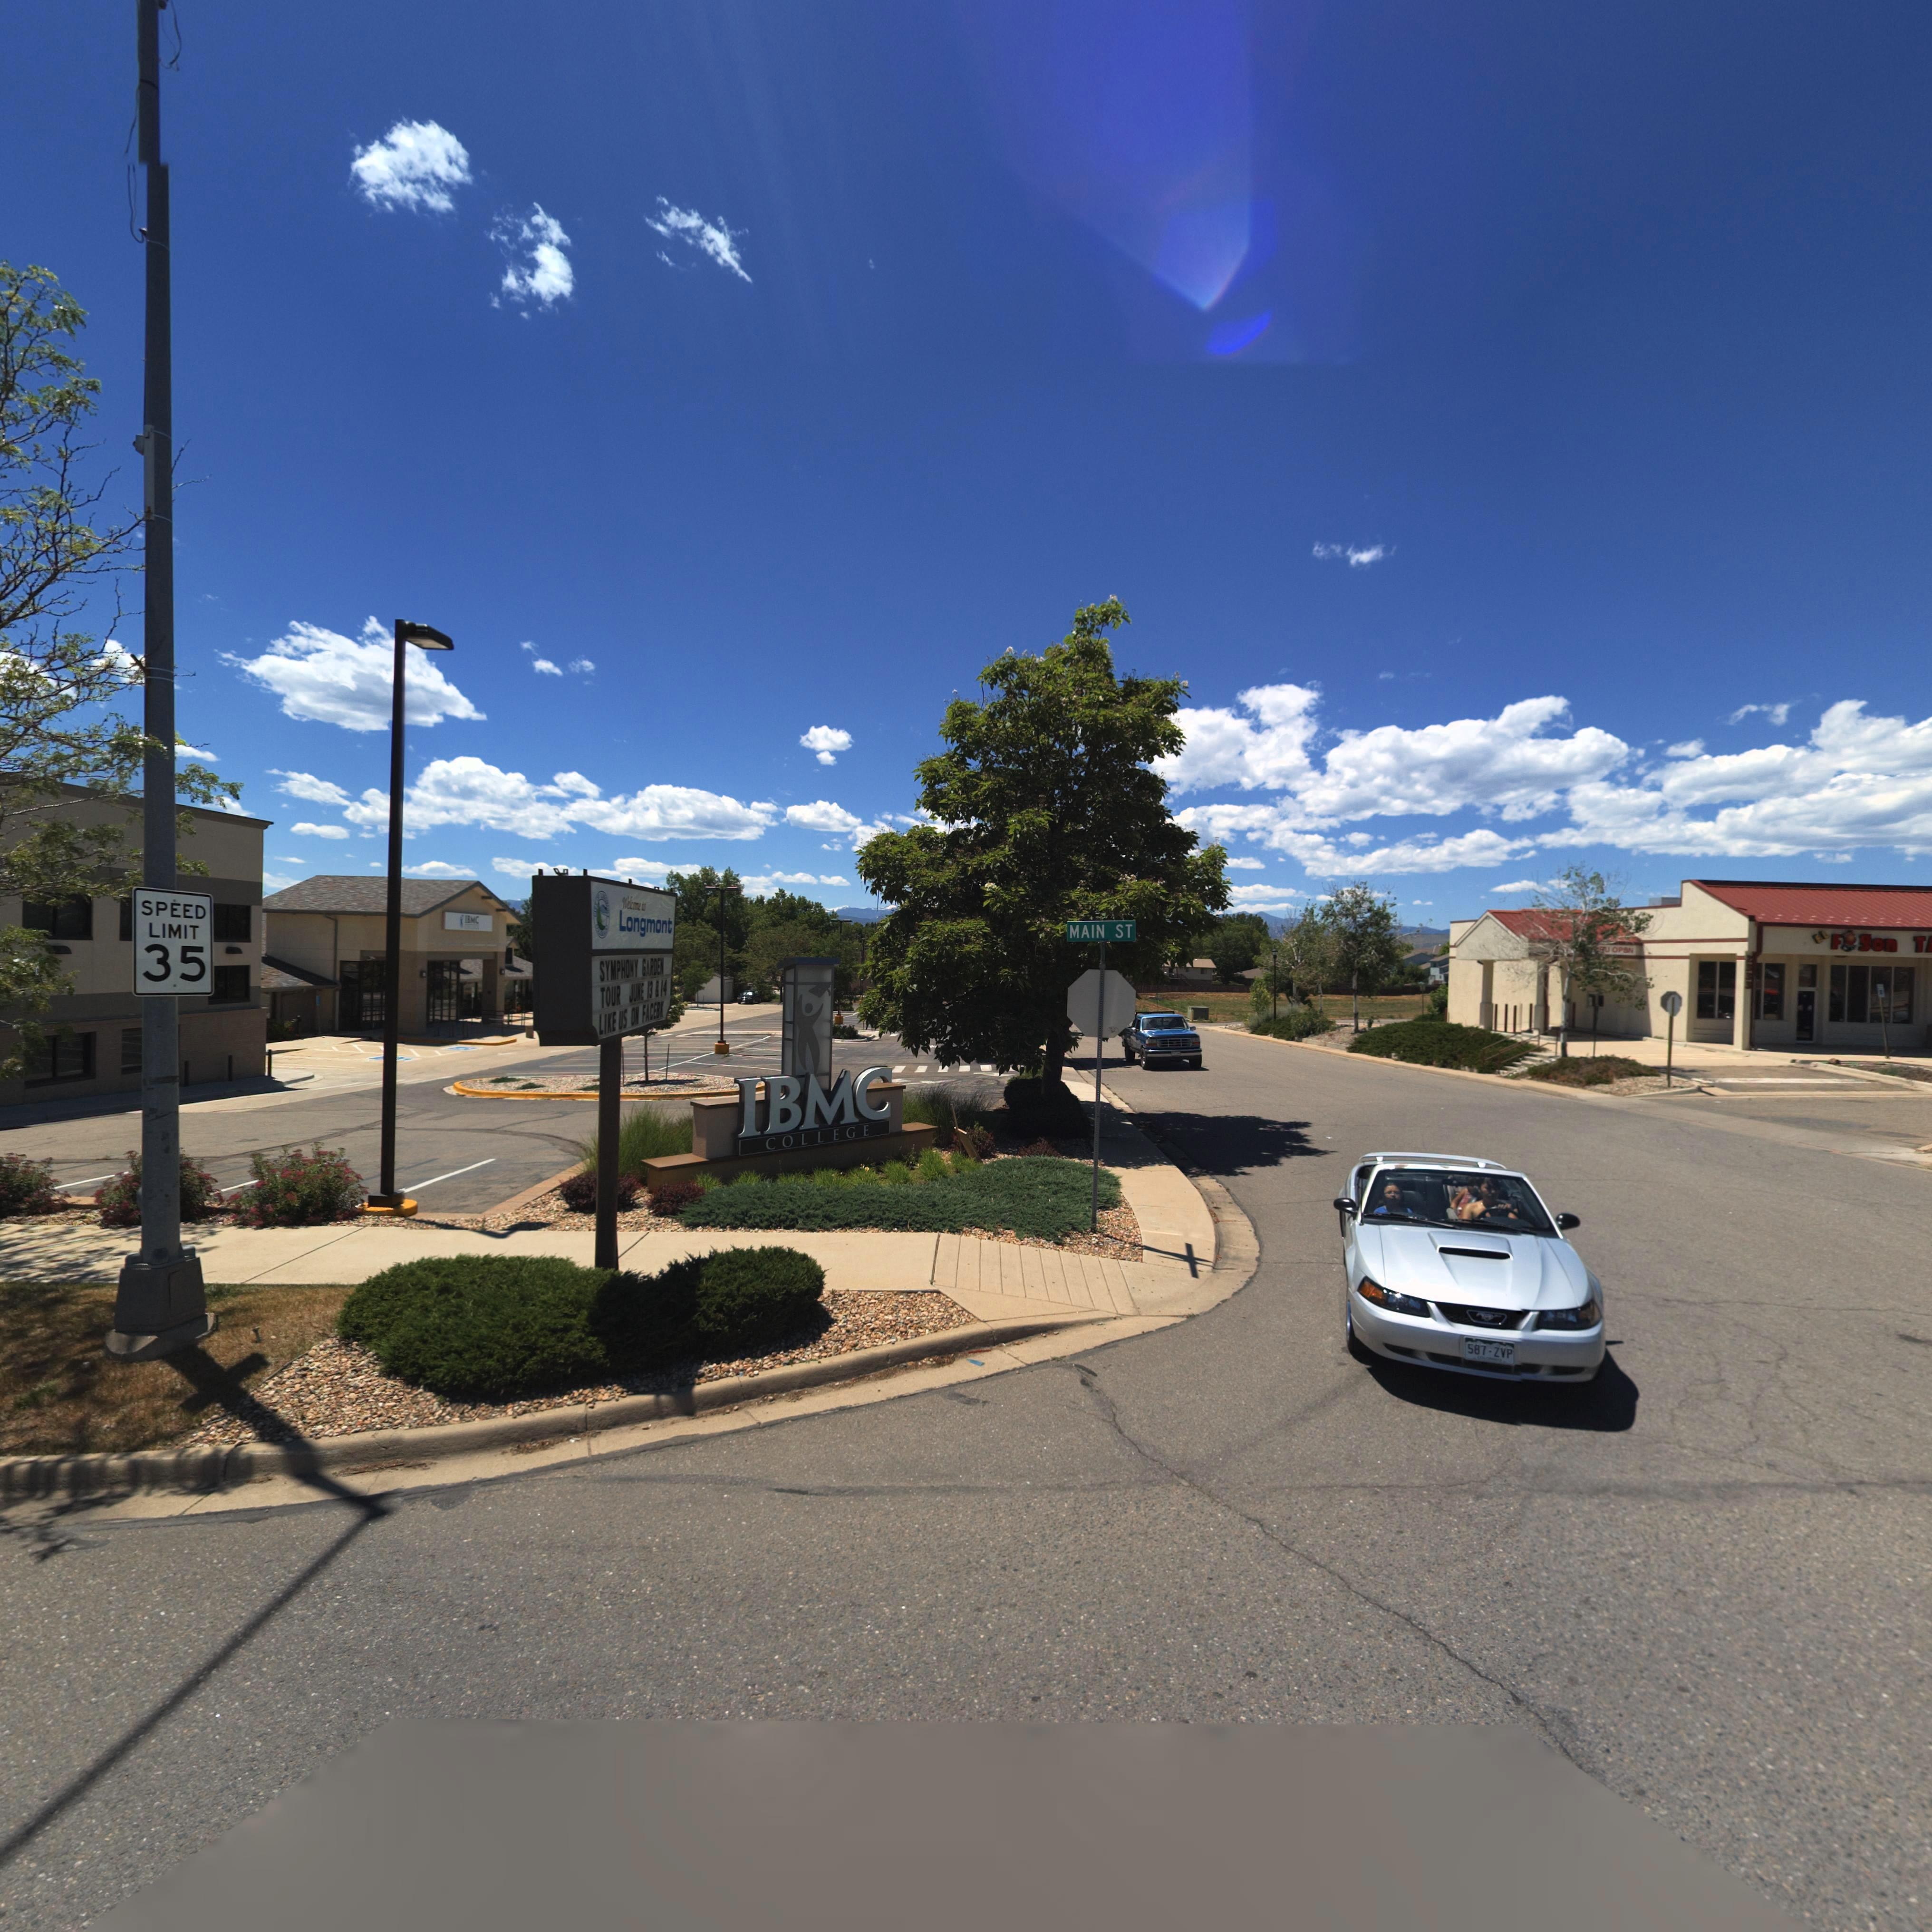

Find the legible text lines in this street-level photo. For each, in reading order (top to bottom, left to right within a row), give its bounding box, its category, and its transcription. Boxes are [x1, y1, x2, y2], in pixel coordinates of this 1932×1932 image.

[464, 915, 479, 924] BusinessName: I**C
[1069, 923, 1133, 938] StreetName: MAIN ST
[1813, 930, 1830, 943] BusinessName: E*
[1831, 931, 1927, 953] BusinessName: F*gon T
[1744, 955, 1752, 989] StreetNumber: 2333
[736, 1066, 892, 1139] BusinessName: IBMC
[764, 1123, 869, 1150] BusinessName: COLLEGE